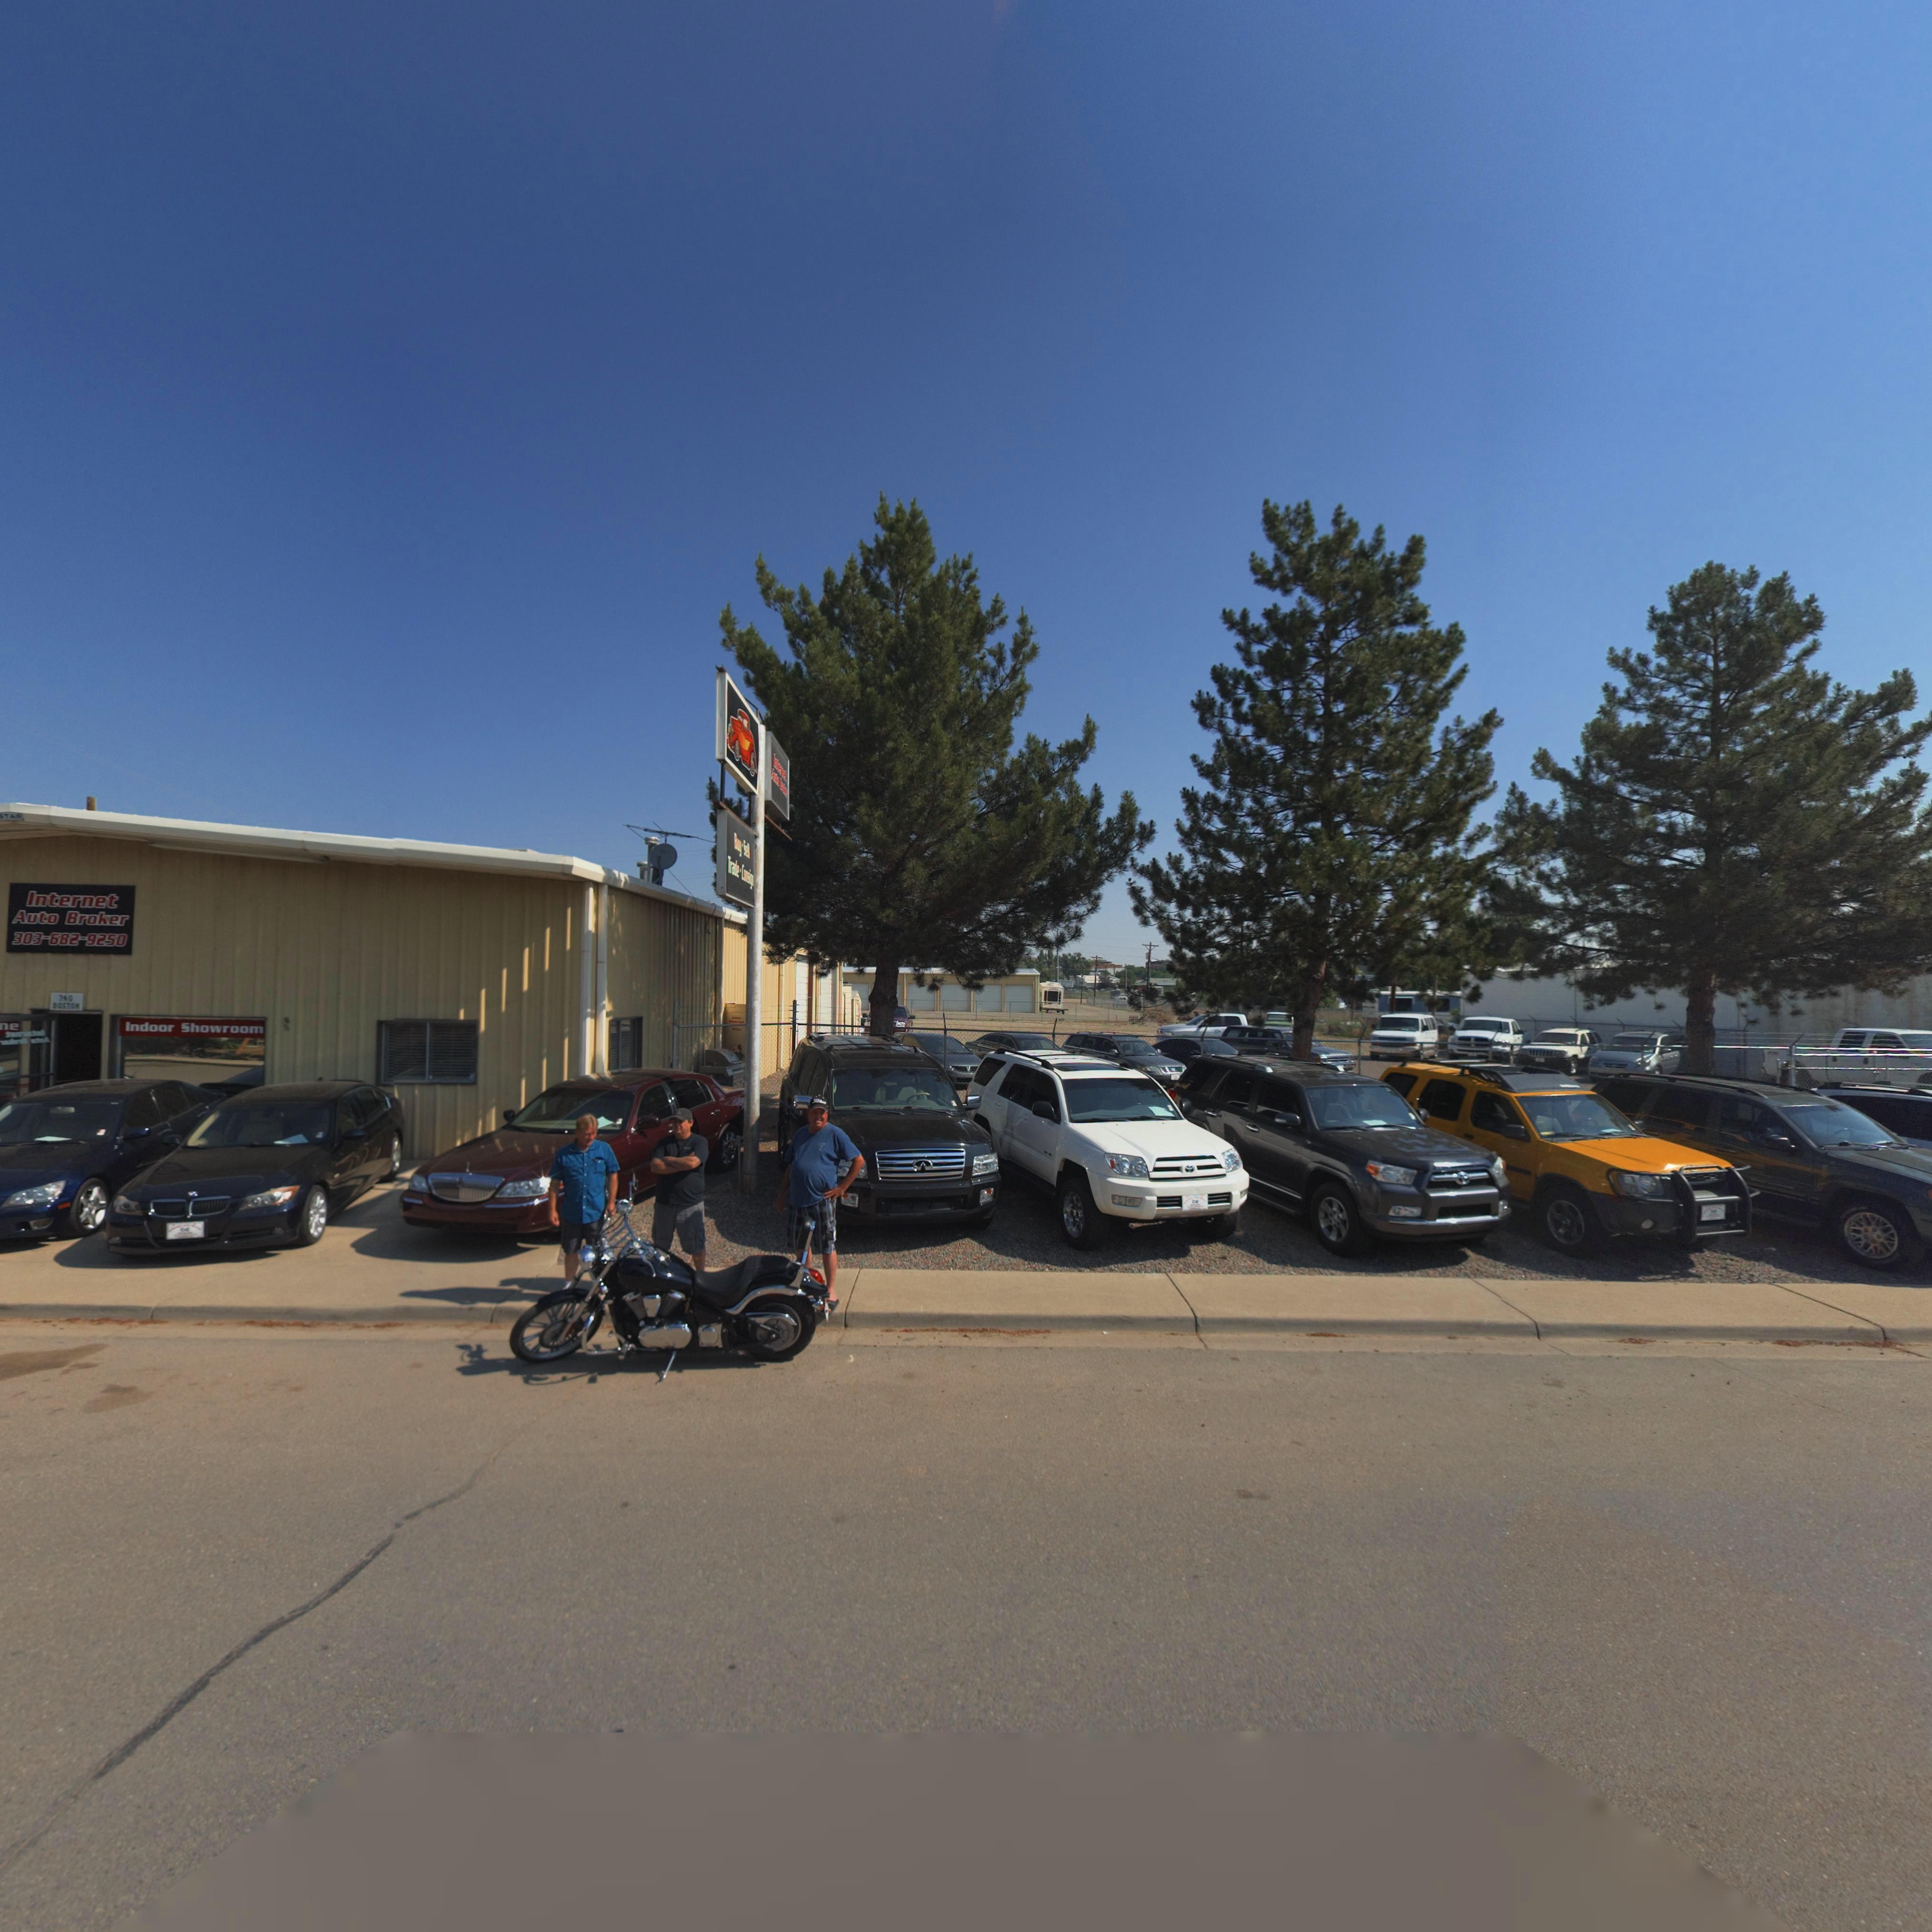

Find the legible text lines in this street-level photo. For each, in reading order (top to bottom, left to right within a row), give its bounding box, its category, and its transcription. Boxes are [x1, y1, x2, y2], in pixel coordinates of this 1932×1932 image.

[773, 753, 786, 782] BusinessName: I*****e*
[771, 767, 787, 798] BusinessName: A*** ******
[24, 890, 119, 909] BusinessName: Internet
[10, 909, 130, 927] BusinessName: Auto Broker
[58, 994, 73, 1002] StreetNumber: 740
[52, 1002, 80, 1010] StreetName: BOSTON